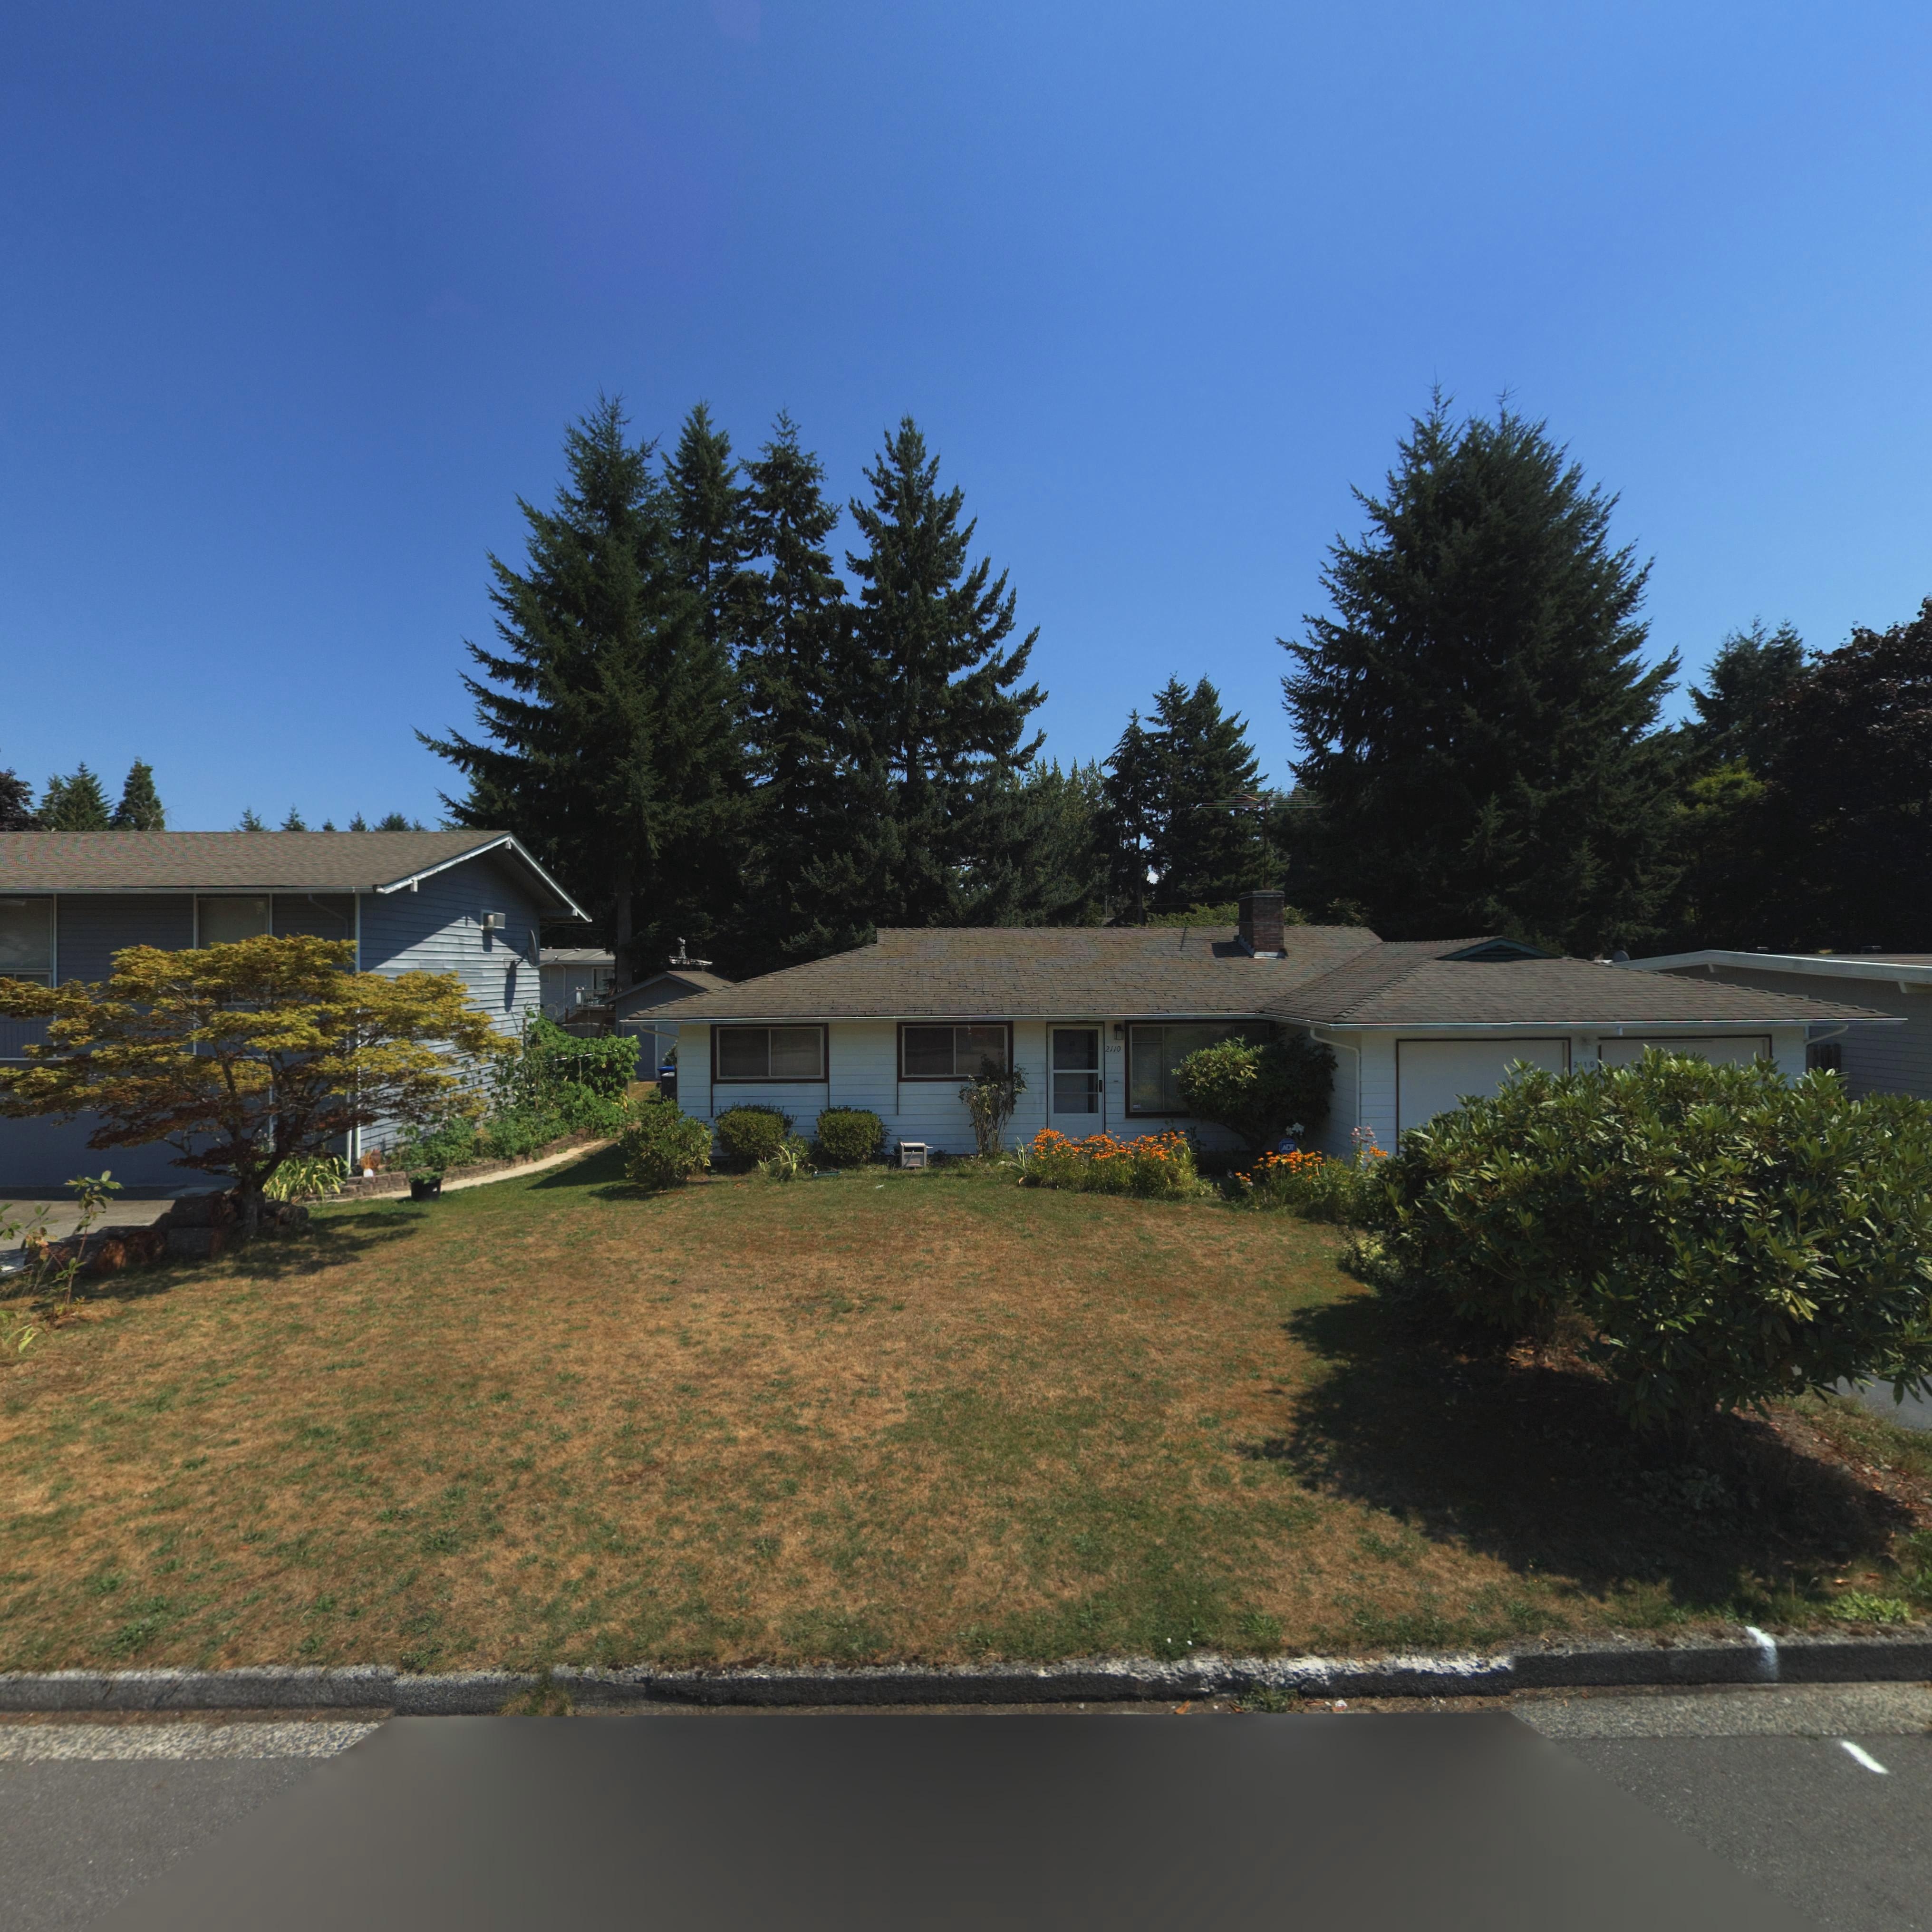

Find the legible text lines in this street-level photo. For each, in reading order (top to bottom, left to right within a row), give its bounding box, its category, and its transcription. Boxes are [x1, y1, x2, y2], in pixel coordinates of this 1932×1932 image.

[1105, 1045, 1121, 1052] StreetNumber: 2110
[1573, 1059, 1595, 1069] StreetNumber: 2110